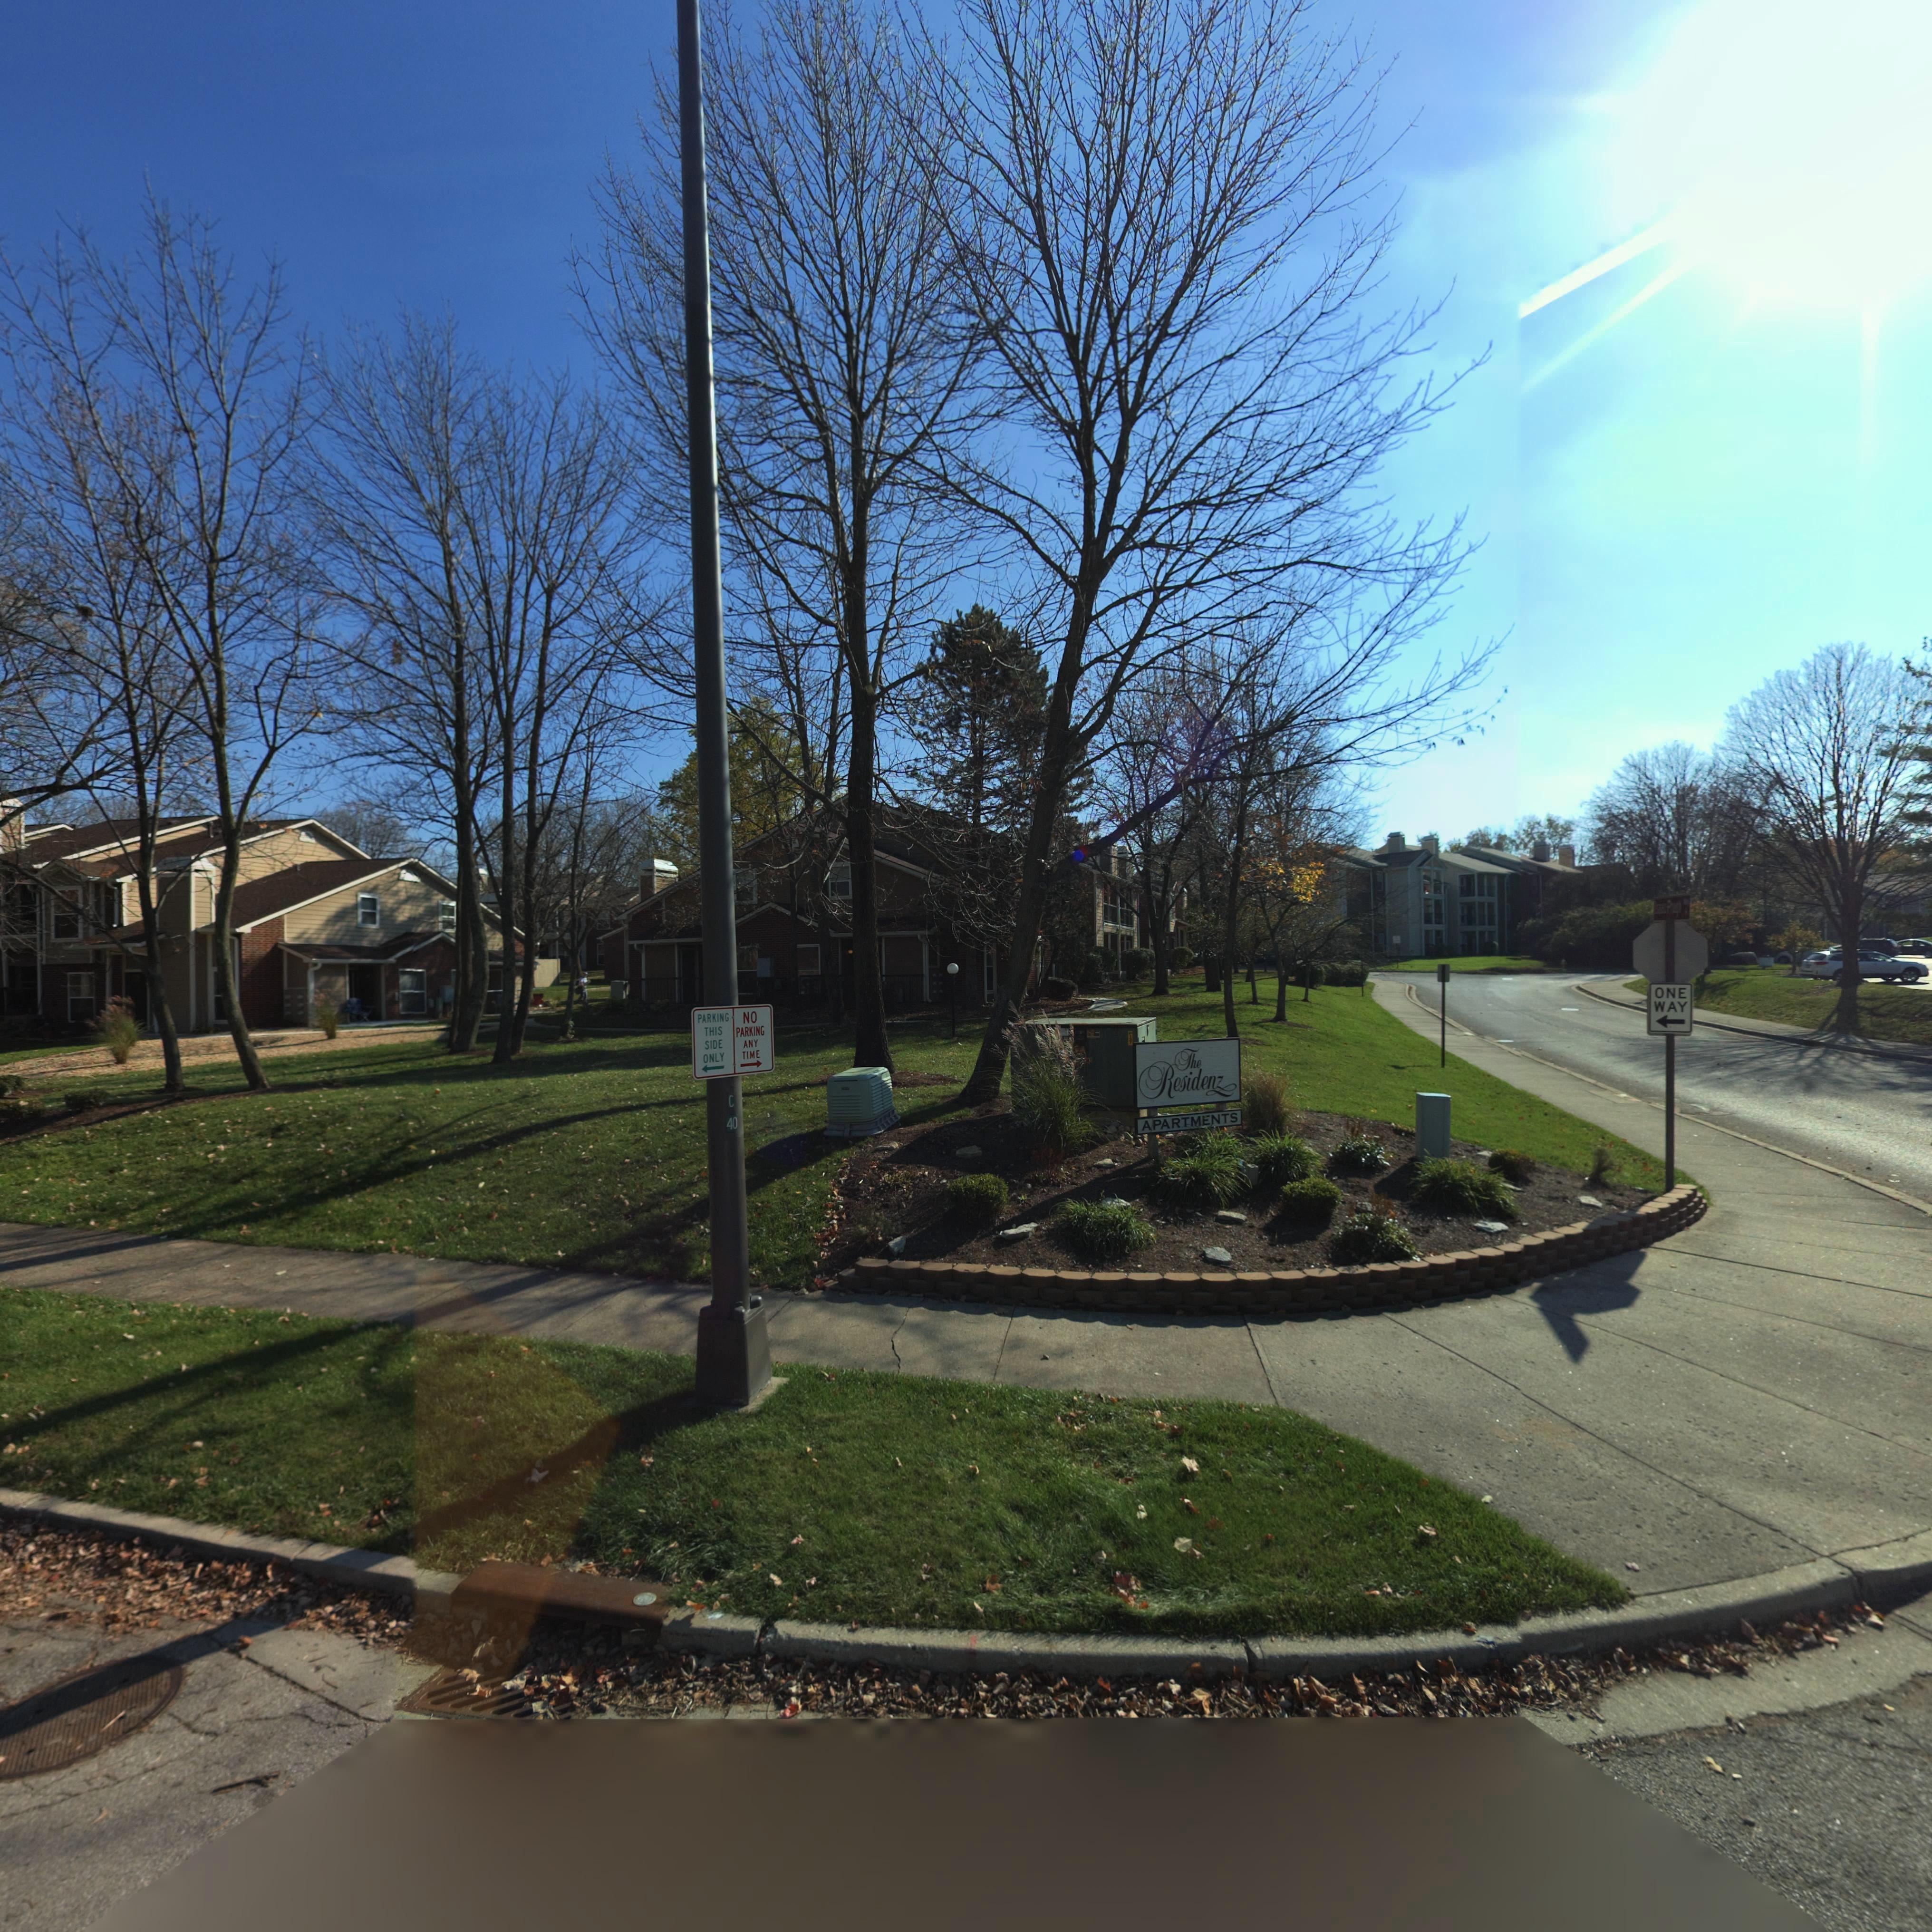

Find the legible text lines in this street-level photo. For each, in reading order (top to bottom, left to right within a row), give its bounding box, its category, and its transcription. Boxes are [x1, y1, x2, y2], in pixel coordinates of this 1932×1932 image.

[1653, 986, 1687, 999] None: ONE
[1653, 1000, 1688, 1013] None: WAY
[697, 1012, 730, 1024] None: PARKING
[743, 1011, 758, 1024] None: NO
[704, 1026, 723, 1037] None: THIS
[736, 1025, 765, 1038] None: PARKING
[704, 1039, 723, 1050] None: SIDE
[742, 1039, 759, 1049] None: ANY
[703, 1052, 724, 1064] None: ONLY
[742, 1049, 761, 1060] None: TIME
[1175, 1046, 1202, 1069] BusinessName: The
[1137, 1058, 1238, 1101] BusinessName: Residenz
[728, 1094, 734, 1107] None: C
[726, 1116, 737, 1130] None: 40
[1141, 1111, 1239, 1132] None: APARTMENTS